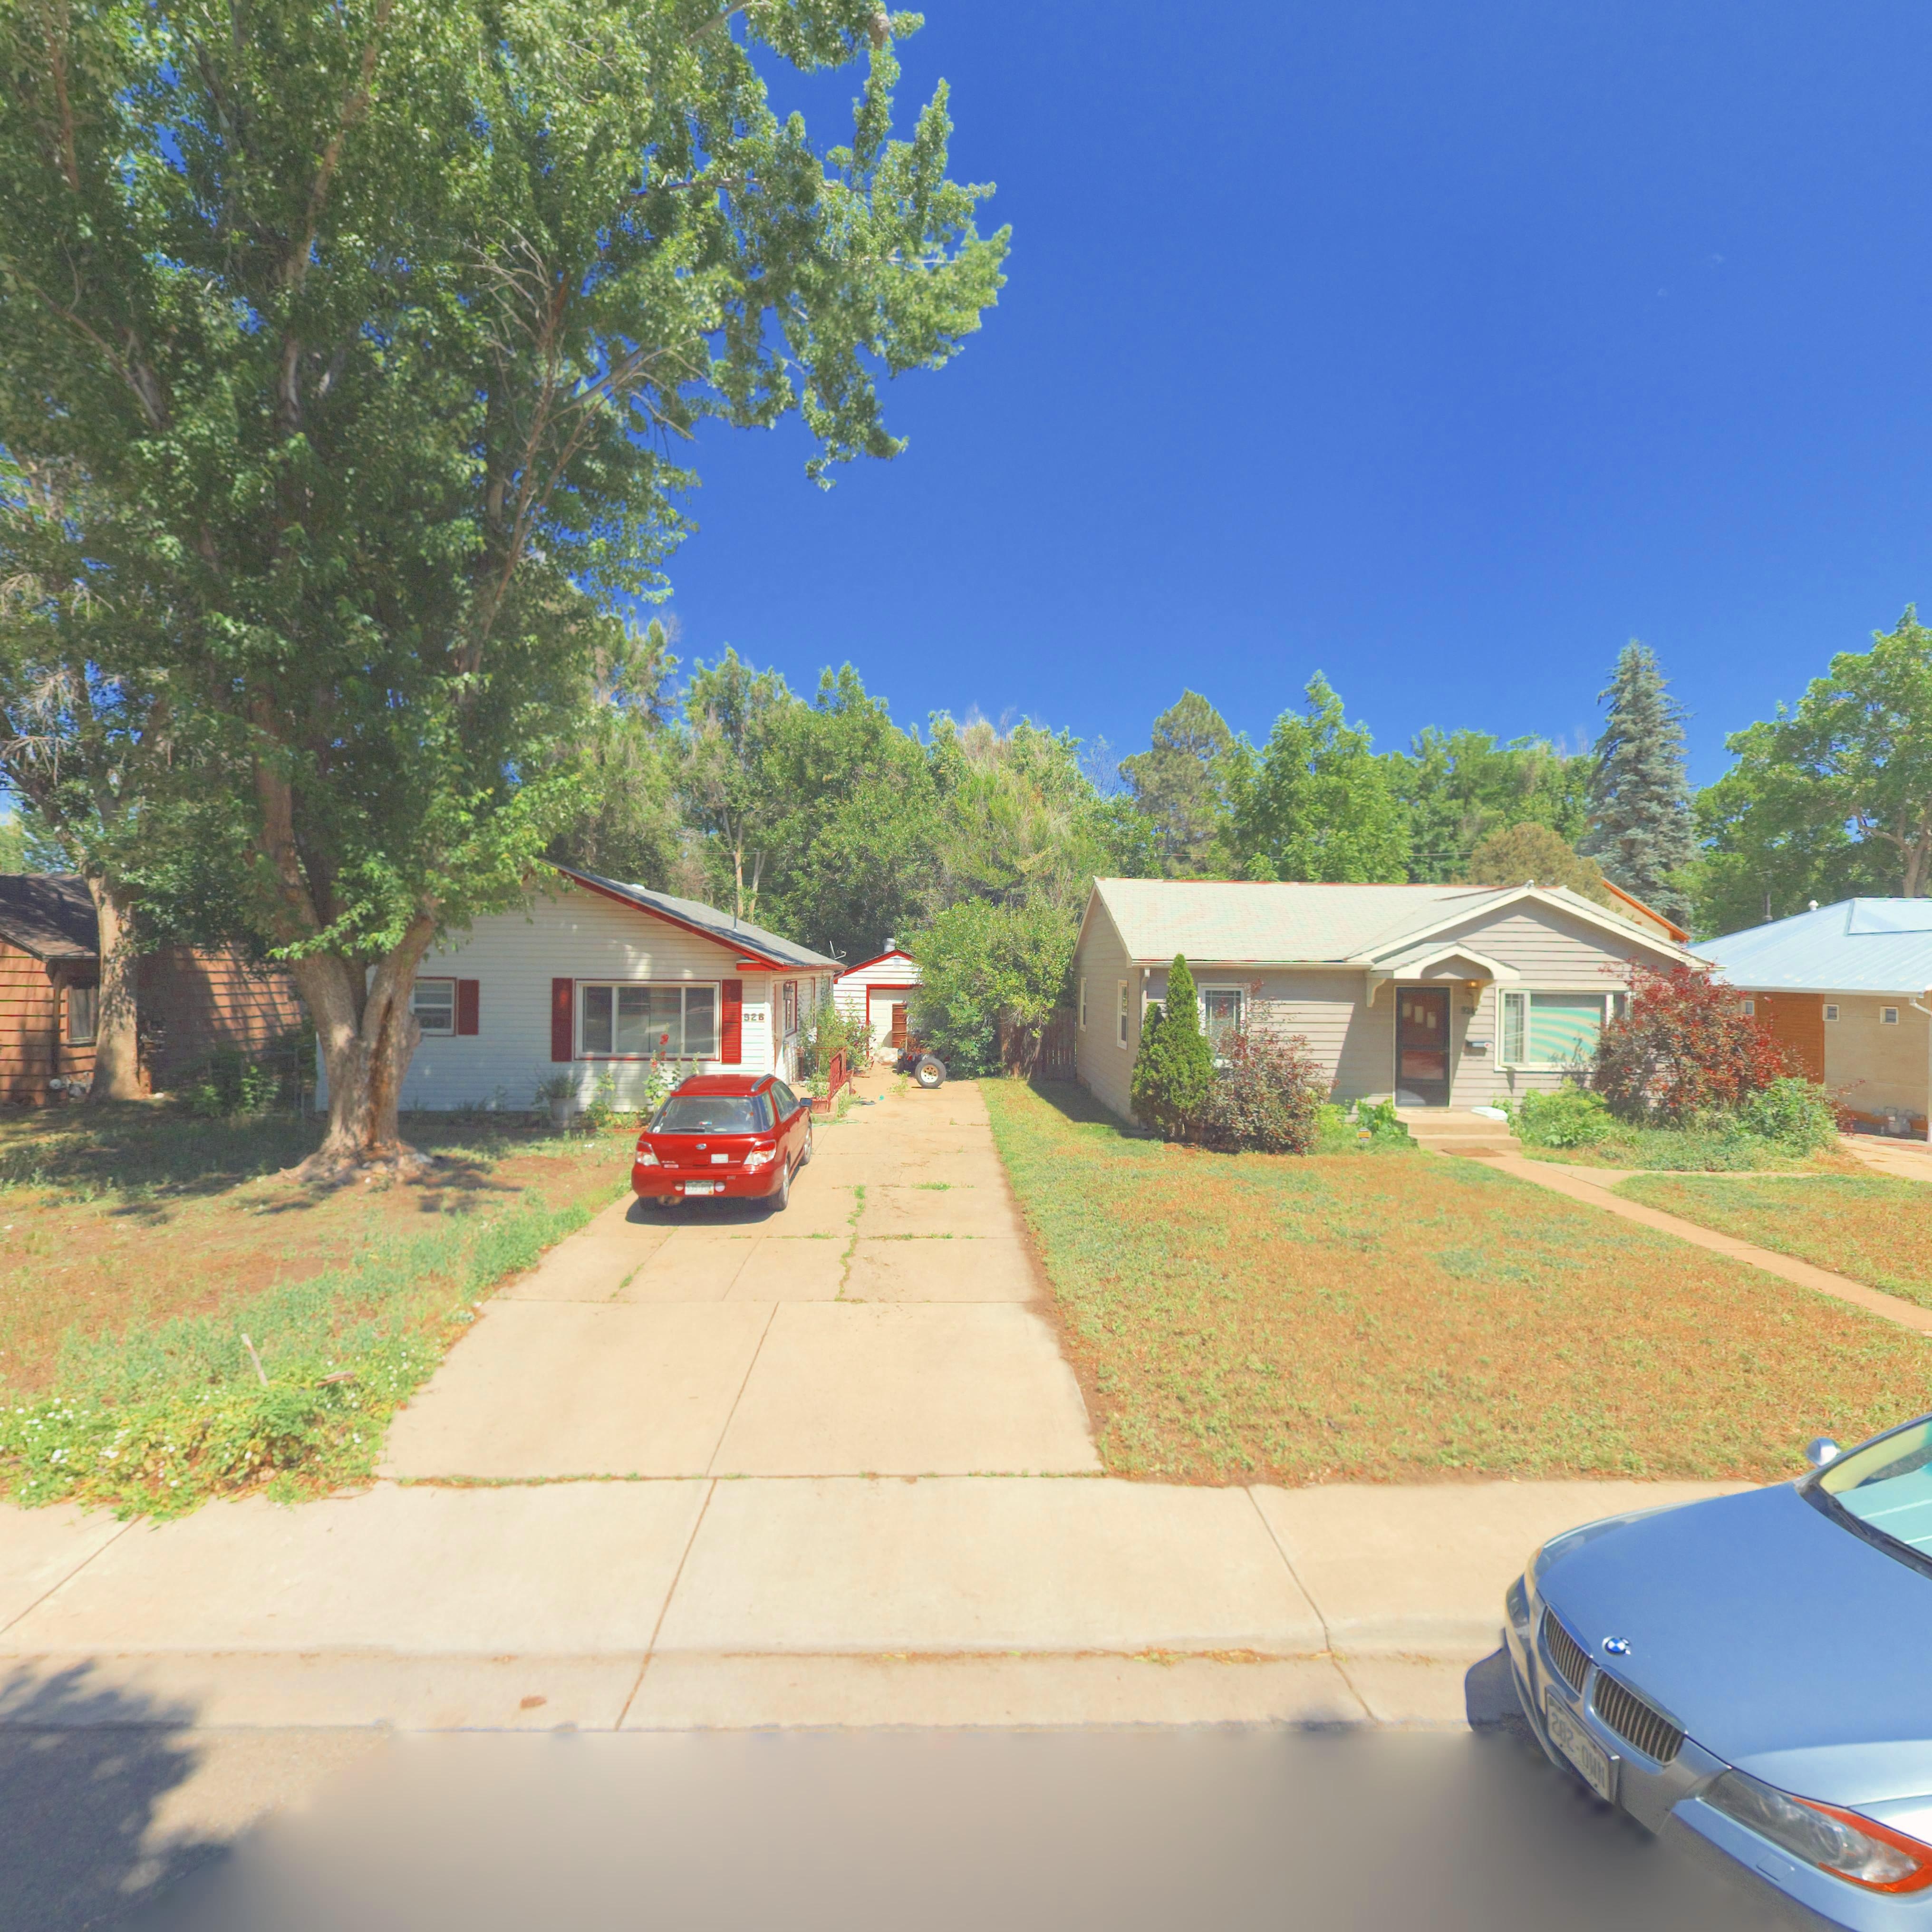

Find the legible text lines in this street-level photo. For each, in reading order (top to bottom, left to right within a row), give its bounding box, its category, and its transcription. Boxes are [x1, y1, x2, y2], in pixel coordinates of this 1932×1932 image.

[1460, 1005, 1475, 1015] StreetNumber: 92*
[744, 1013, 764, 1022] StreetNumber: 928